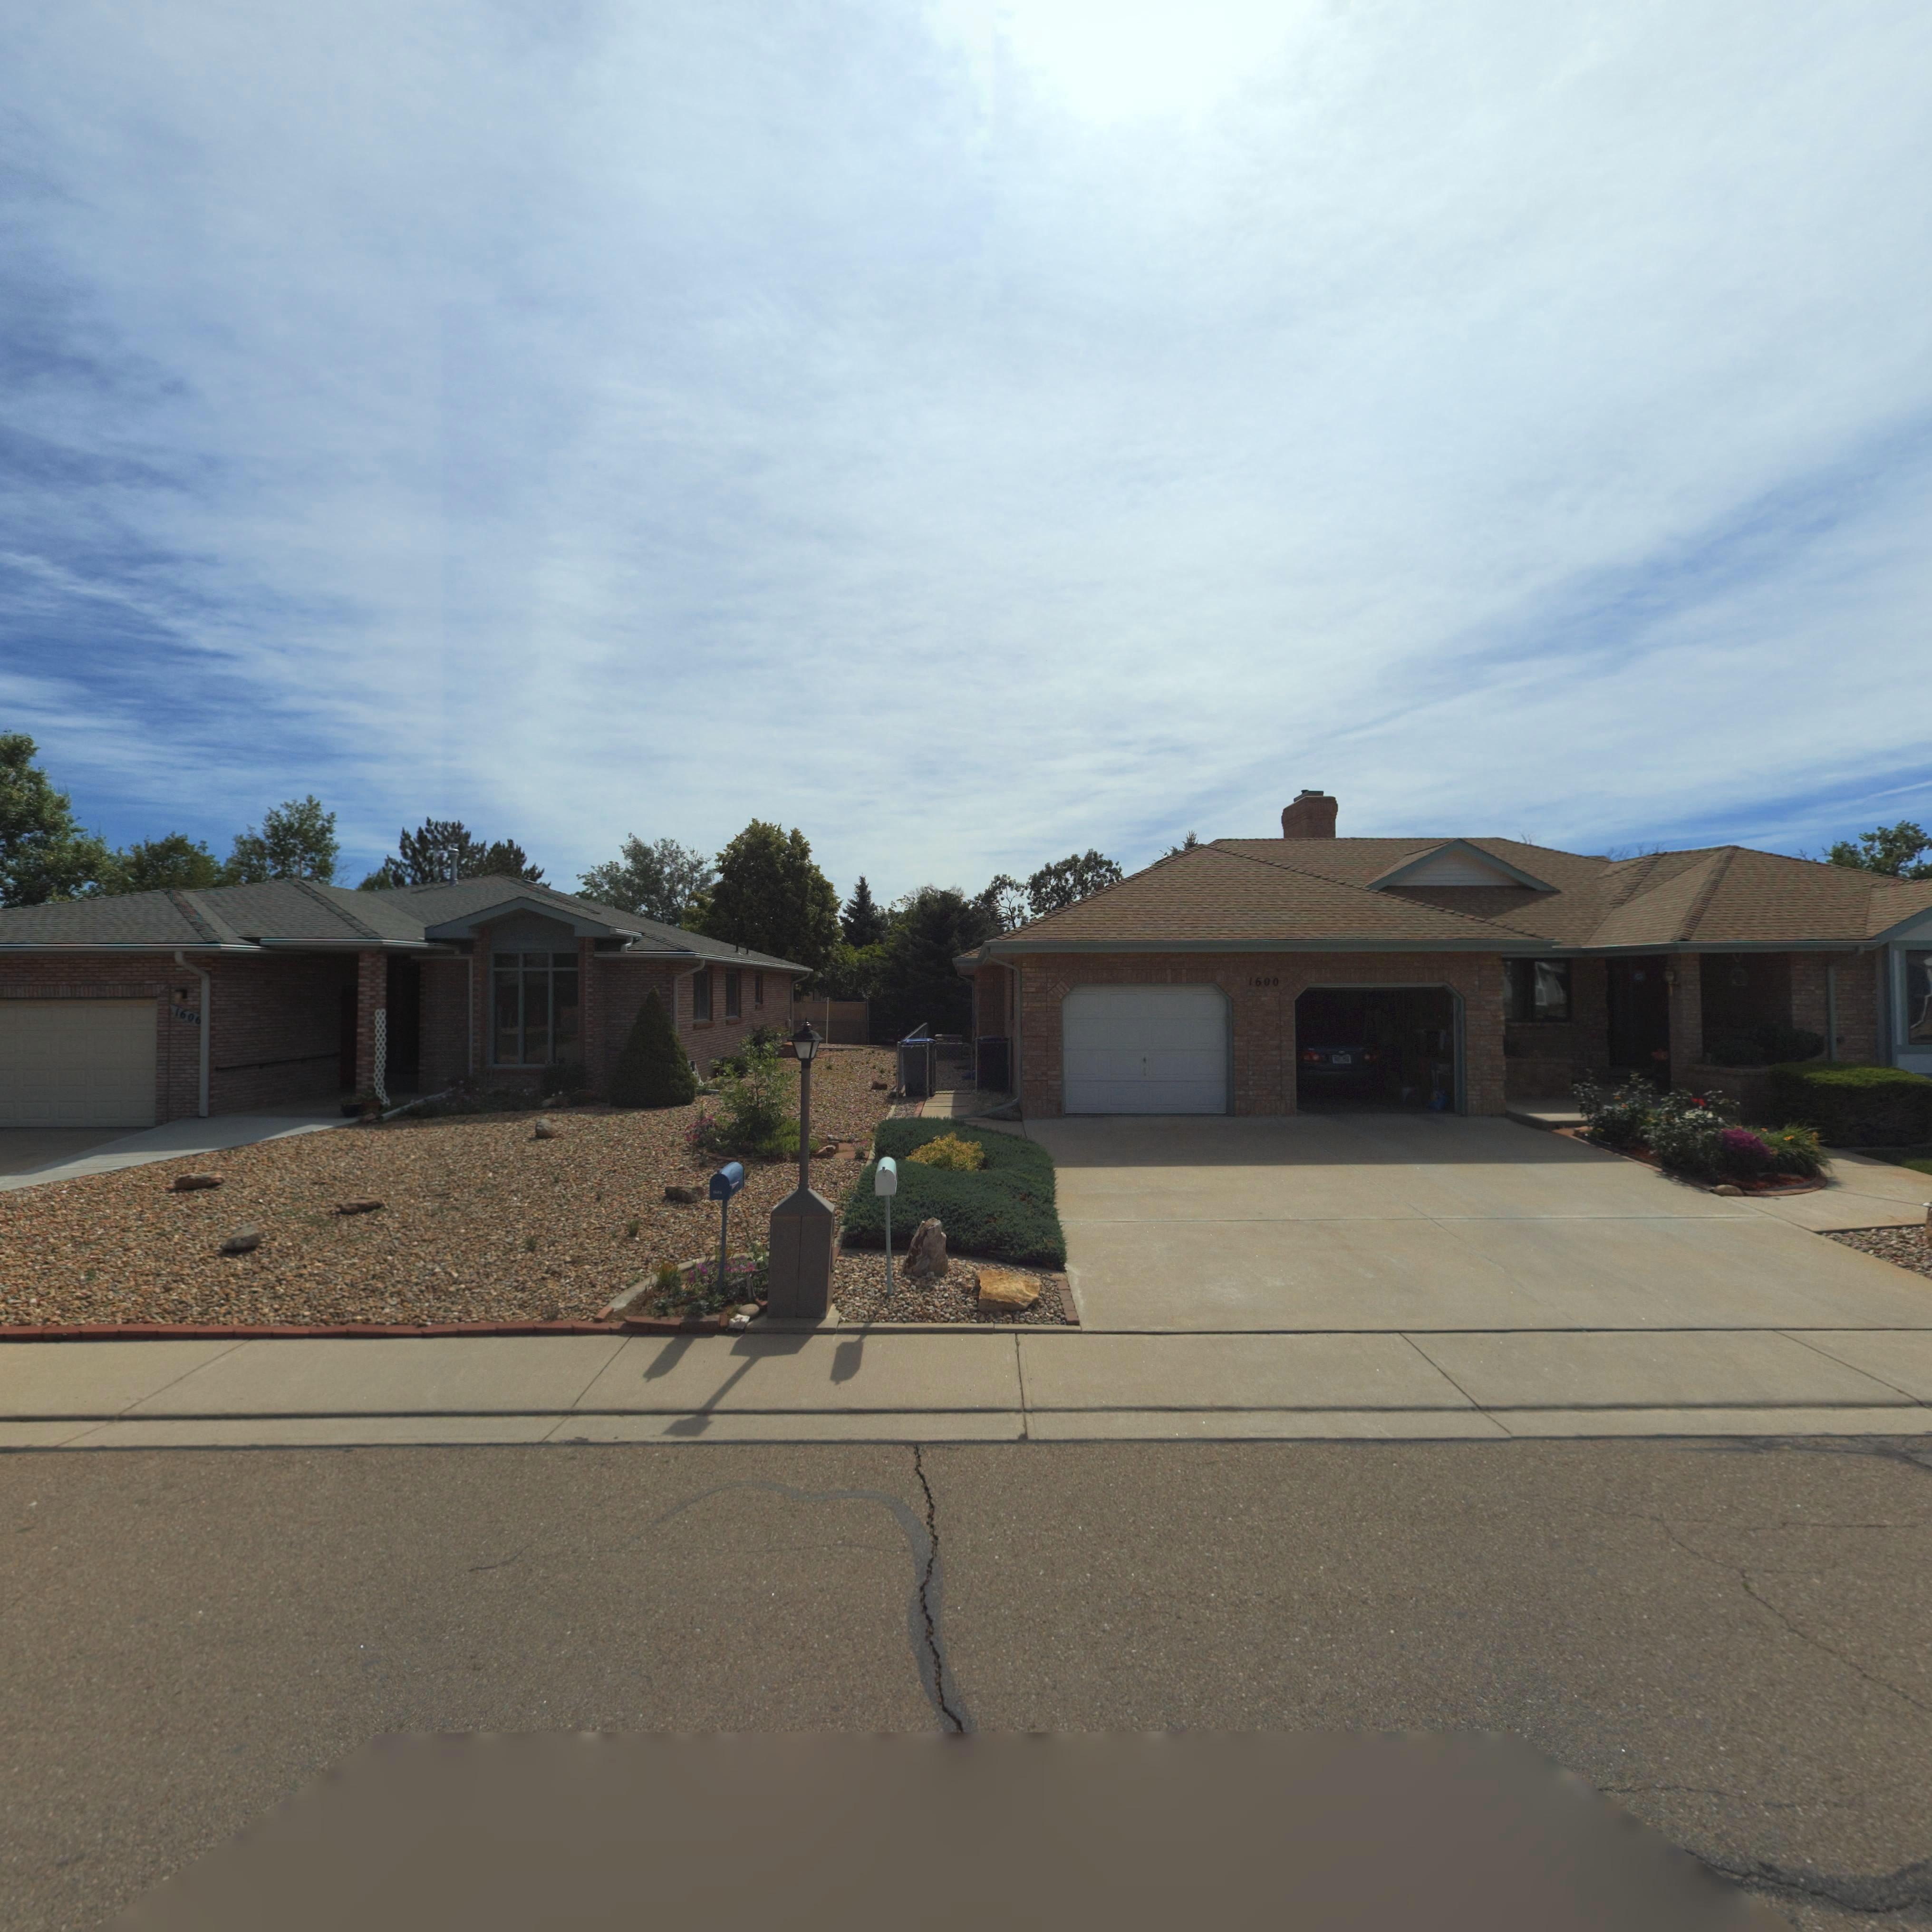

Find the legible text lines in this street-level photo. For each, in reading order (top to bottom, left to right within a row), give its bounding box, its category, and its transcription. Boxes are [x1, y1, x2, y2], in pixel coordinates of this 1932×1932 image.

[1248, 976, 1279, 986] StreetNumber: 1600
[174, 1006, 202, 1025] StreetNumber: 160*
[712, 1189, 723, 1194] StreetNumber: 1***